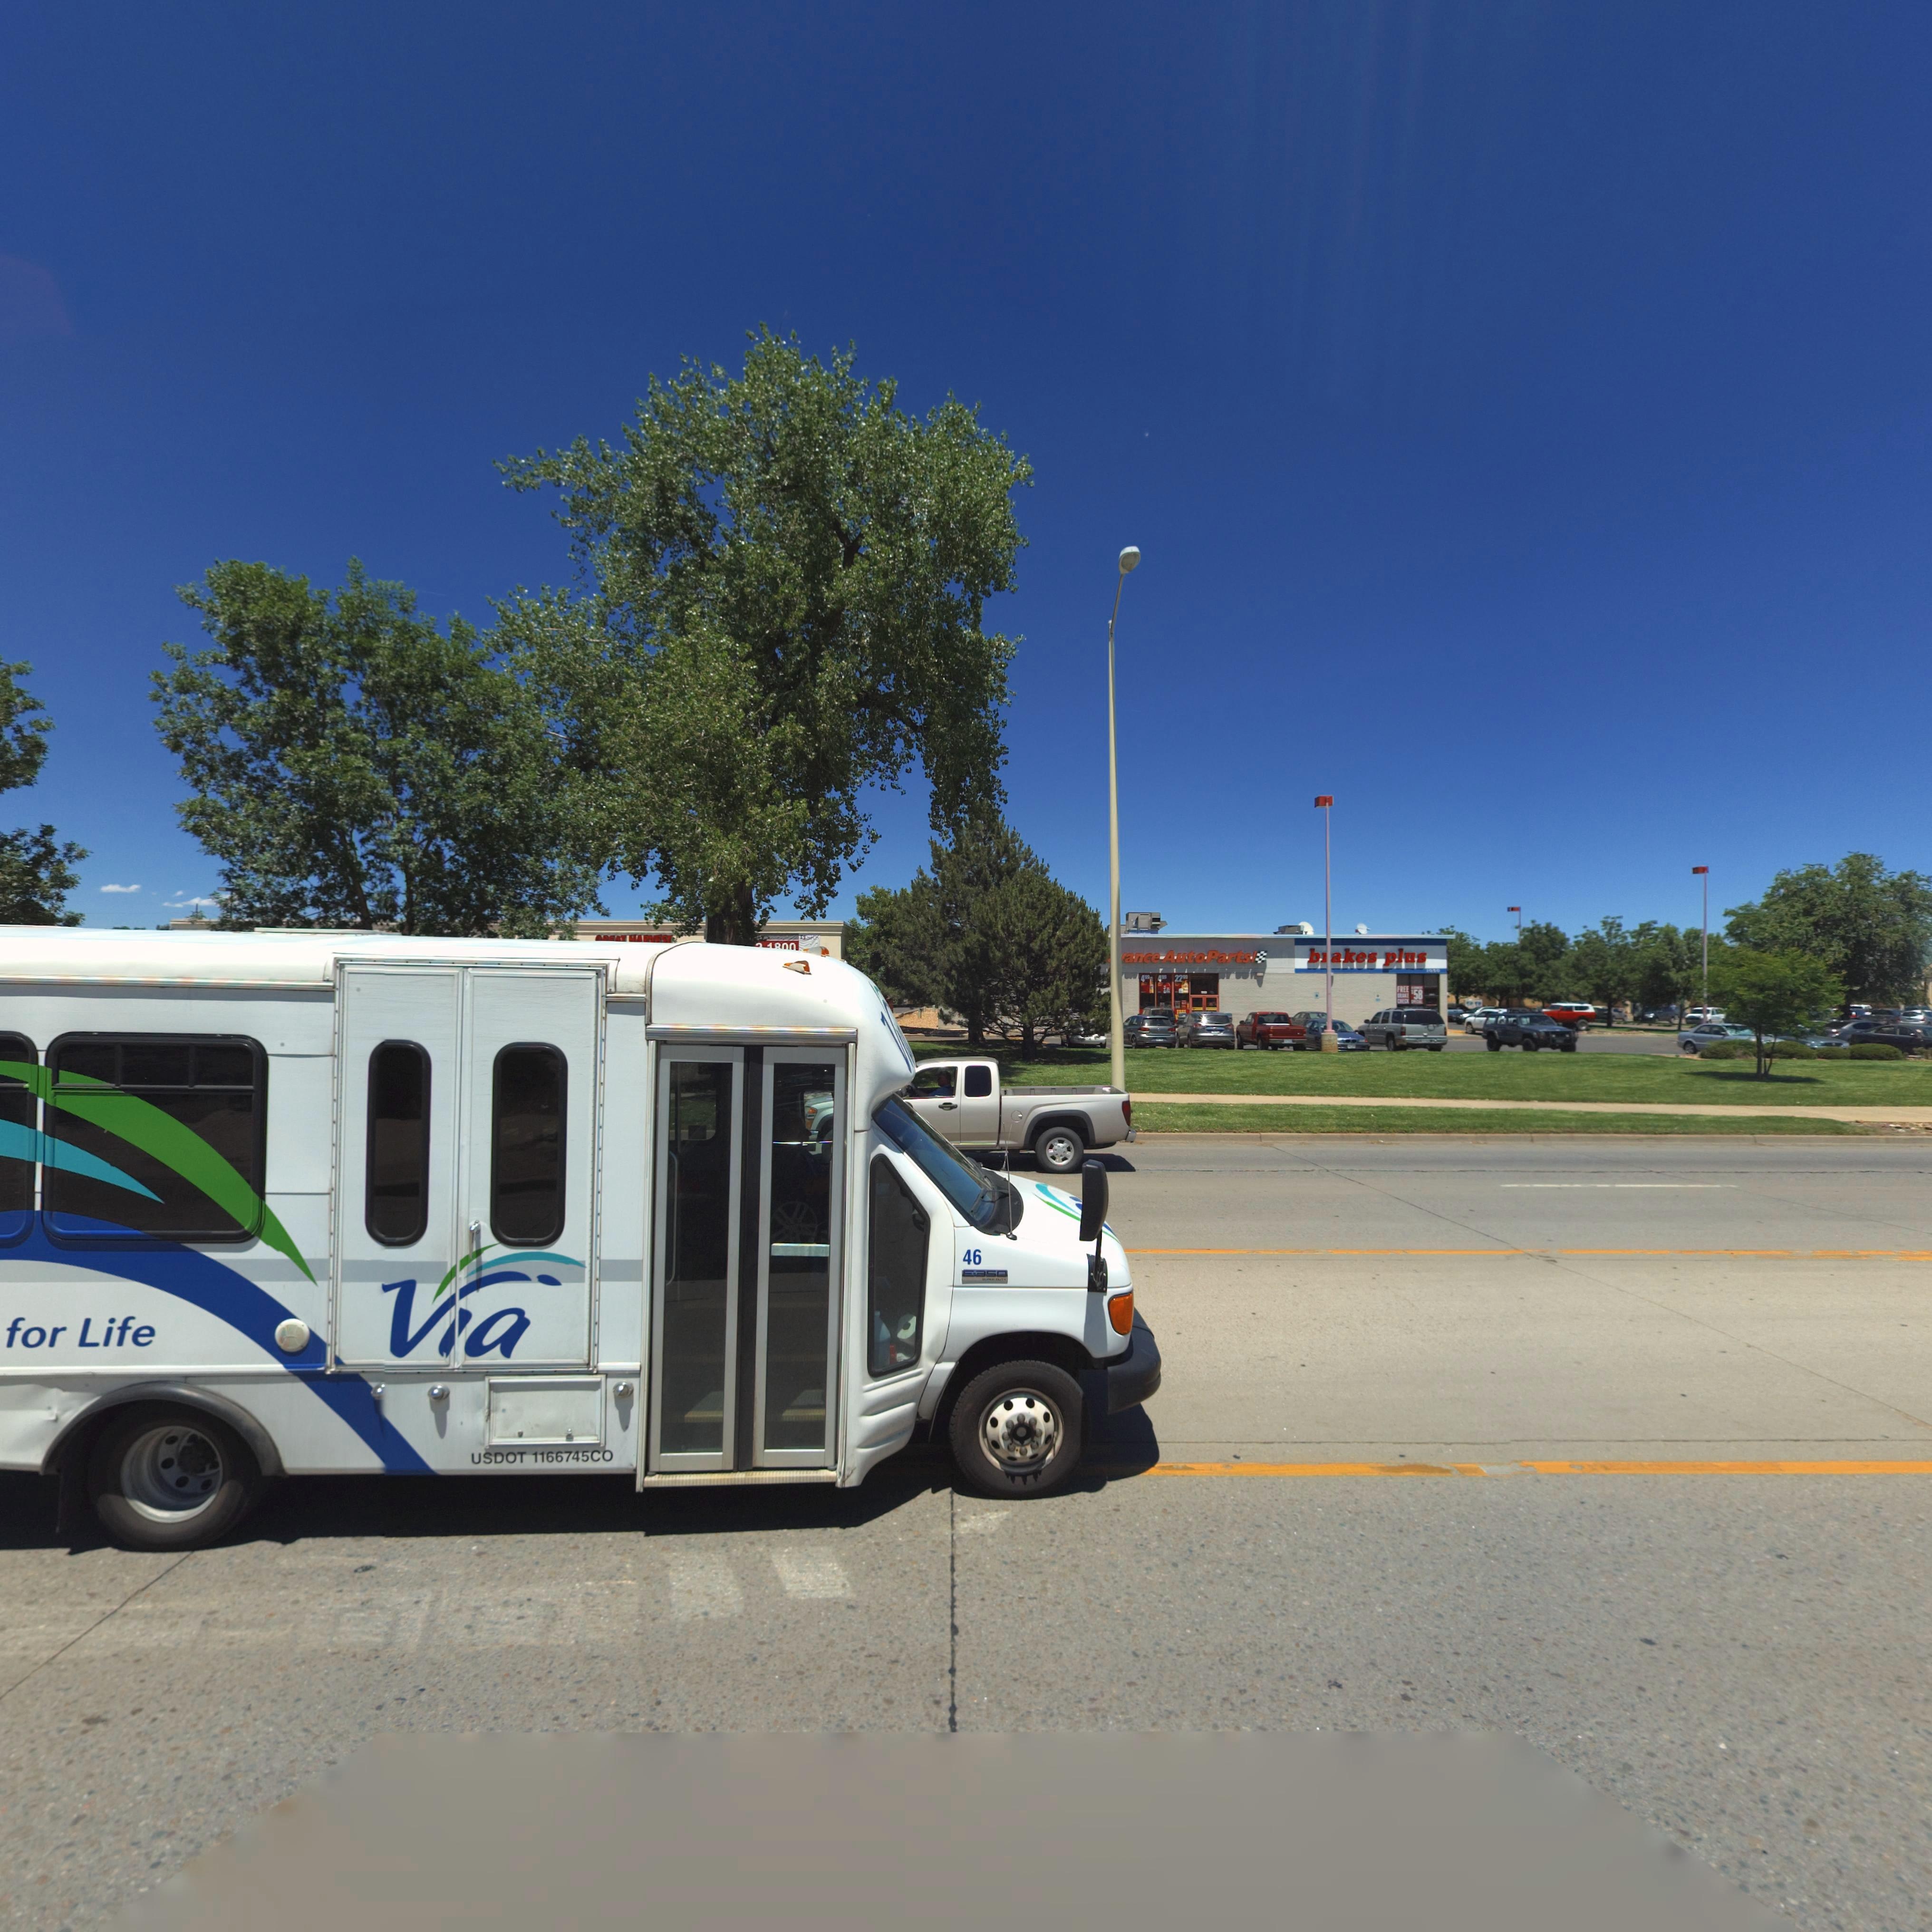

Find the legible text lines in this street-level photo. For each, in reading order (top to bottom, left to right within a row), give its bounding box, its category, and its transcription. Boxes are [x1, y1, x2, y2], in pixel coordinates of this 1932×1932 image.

[1123, 949, 1252, 963] BusinessName: ance AutoParts
[1307, 947, 1428, 966] BusinessName: b*akes plus
[1426, 968, 1440, 973] StreetNumber: 1050